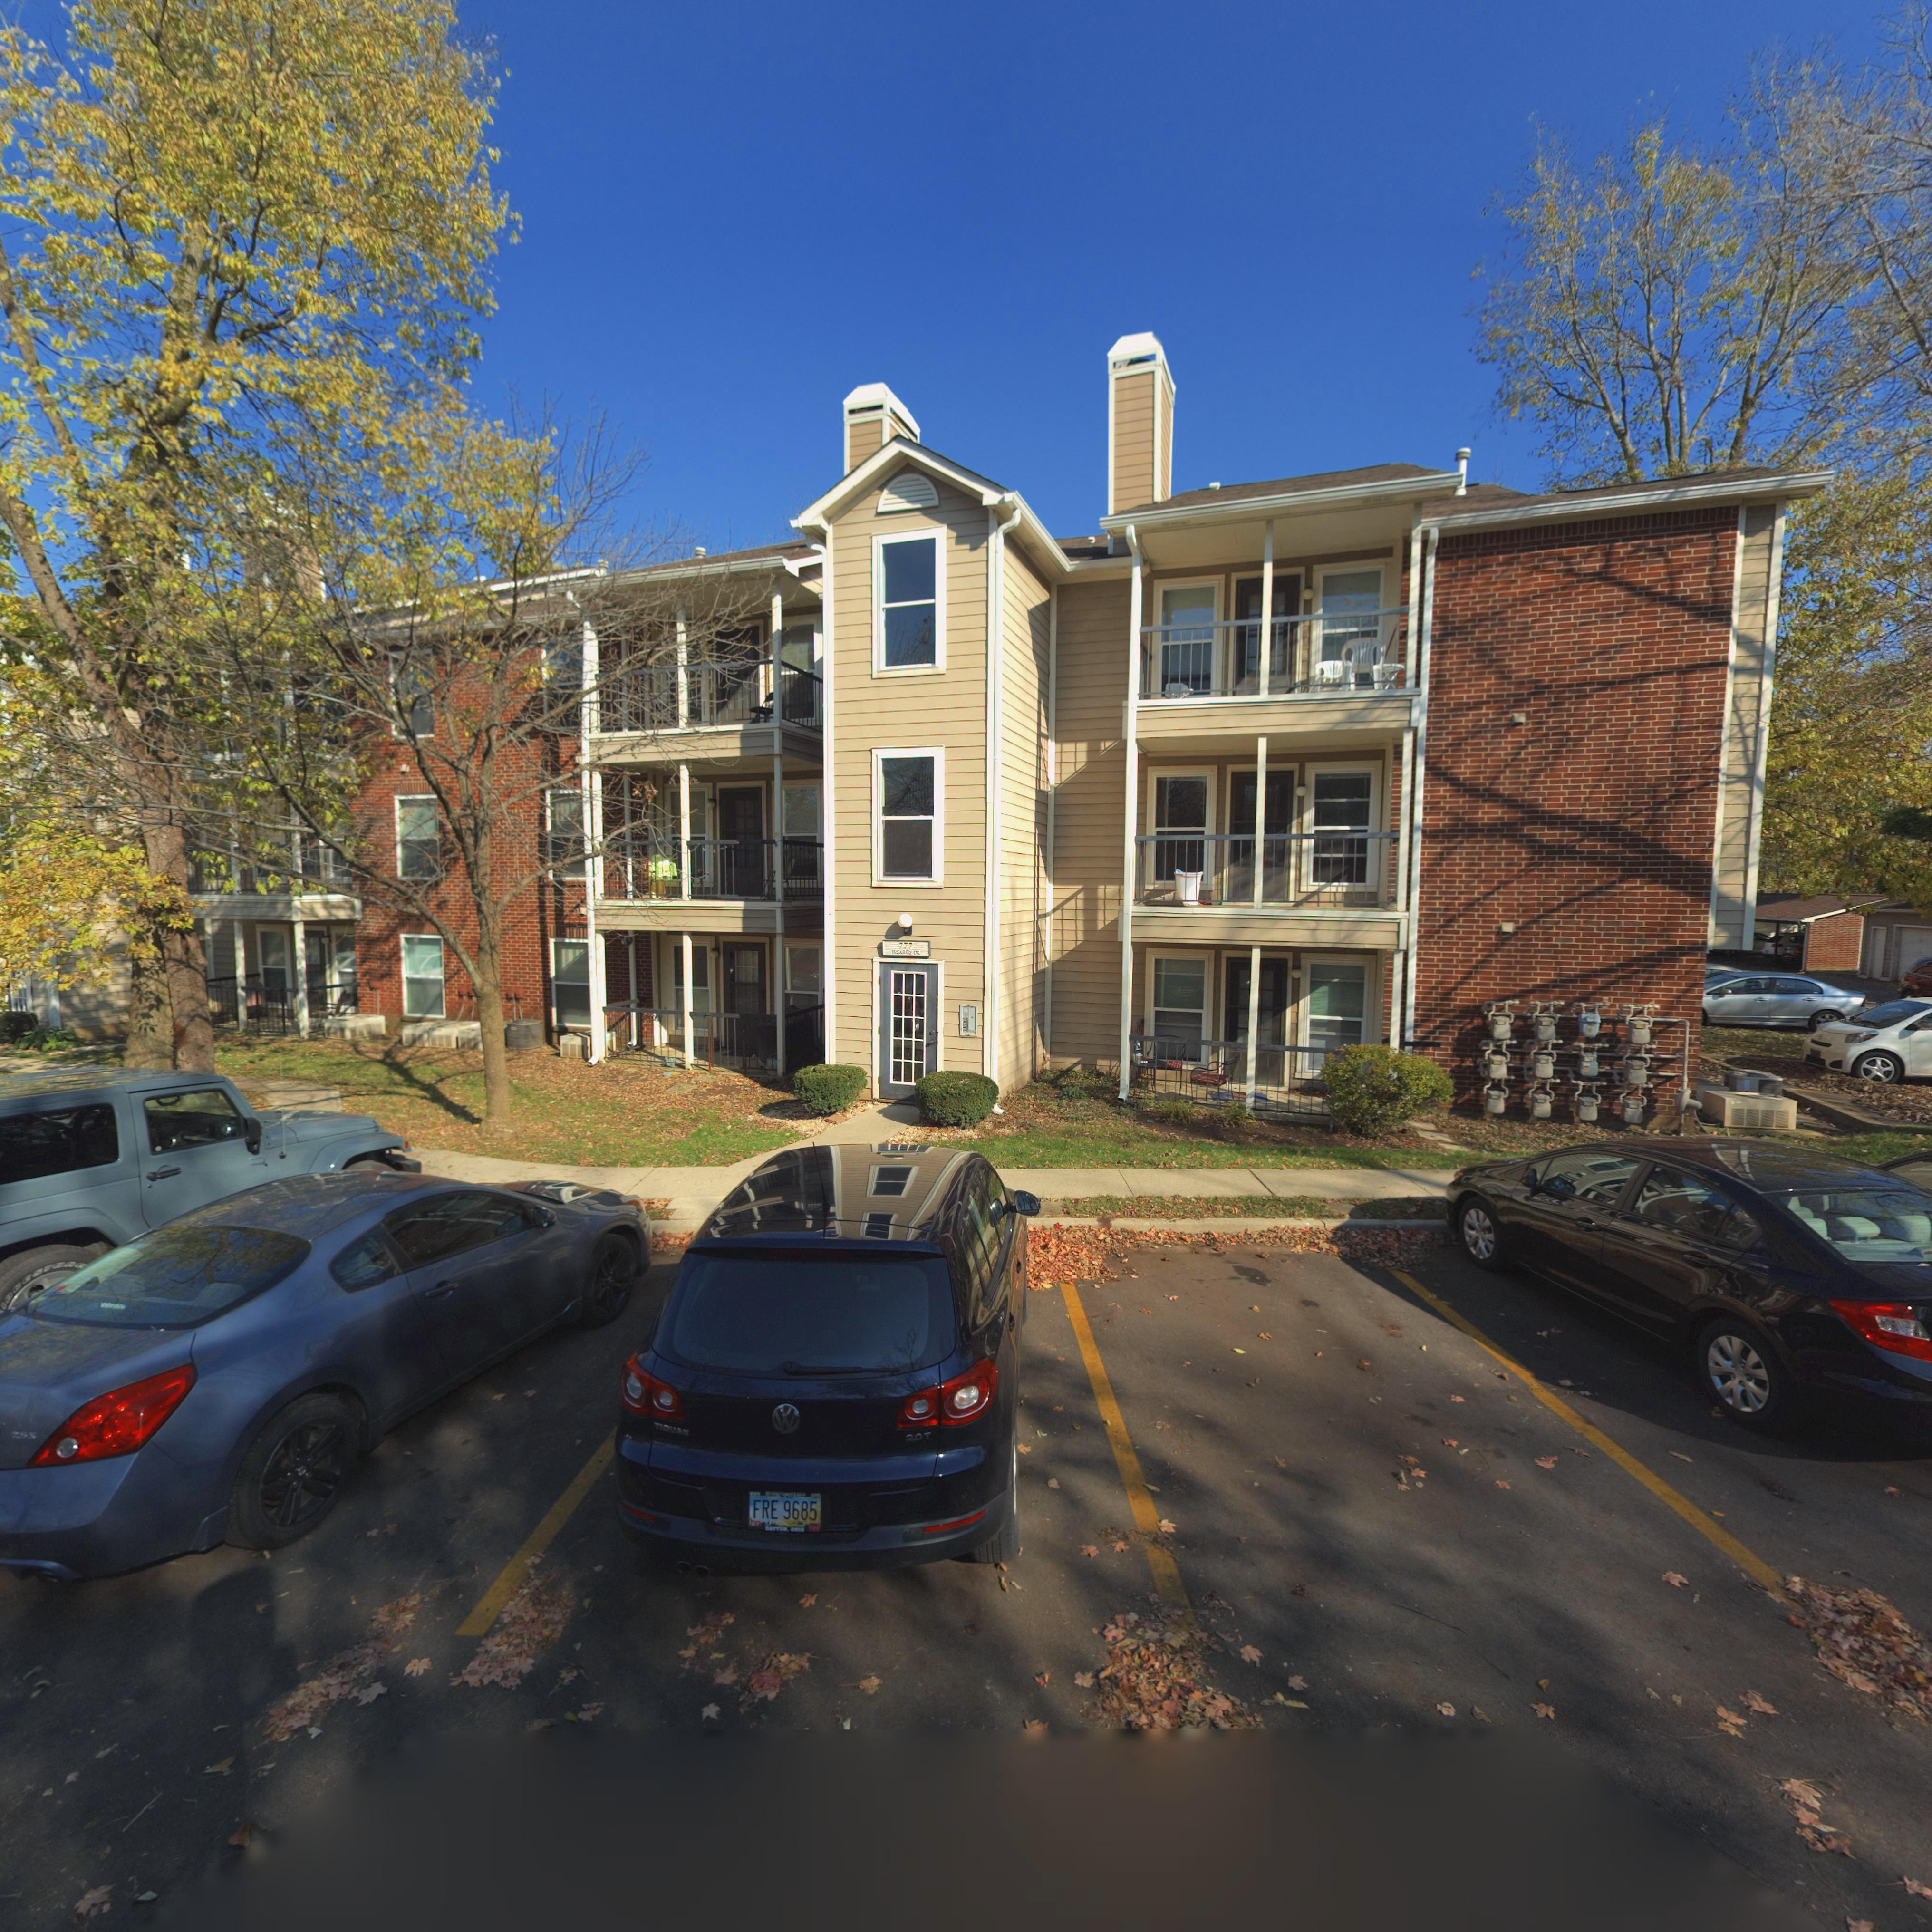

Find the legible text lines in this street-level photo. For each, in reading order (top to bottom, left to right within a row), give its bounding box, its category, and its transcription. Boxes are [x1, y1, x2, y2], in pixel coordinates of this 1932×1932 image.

[898, 941, 913, 950] StreetNumber: 777
[891, 949, 922, 956] StreetName: T*EASURY DR
[652, 1421, 692, 1438] None: TI***A*
[905, 1431, 932, 1443] None: 2.0 T
[752, 1499, 819, 1522] None: FRE 9685
[750, 1521, 760, 1528] None: 57
[764, 1526, 805, 1533] None: DAYTON, OHIO